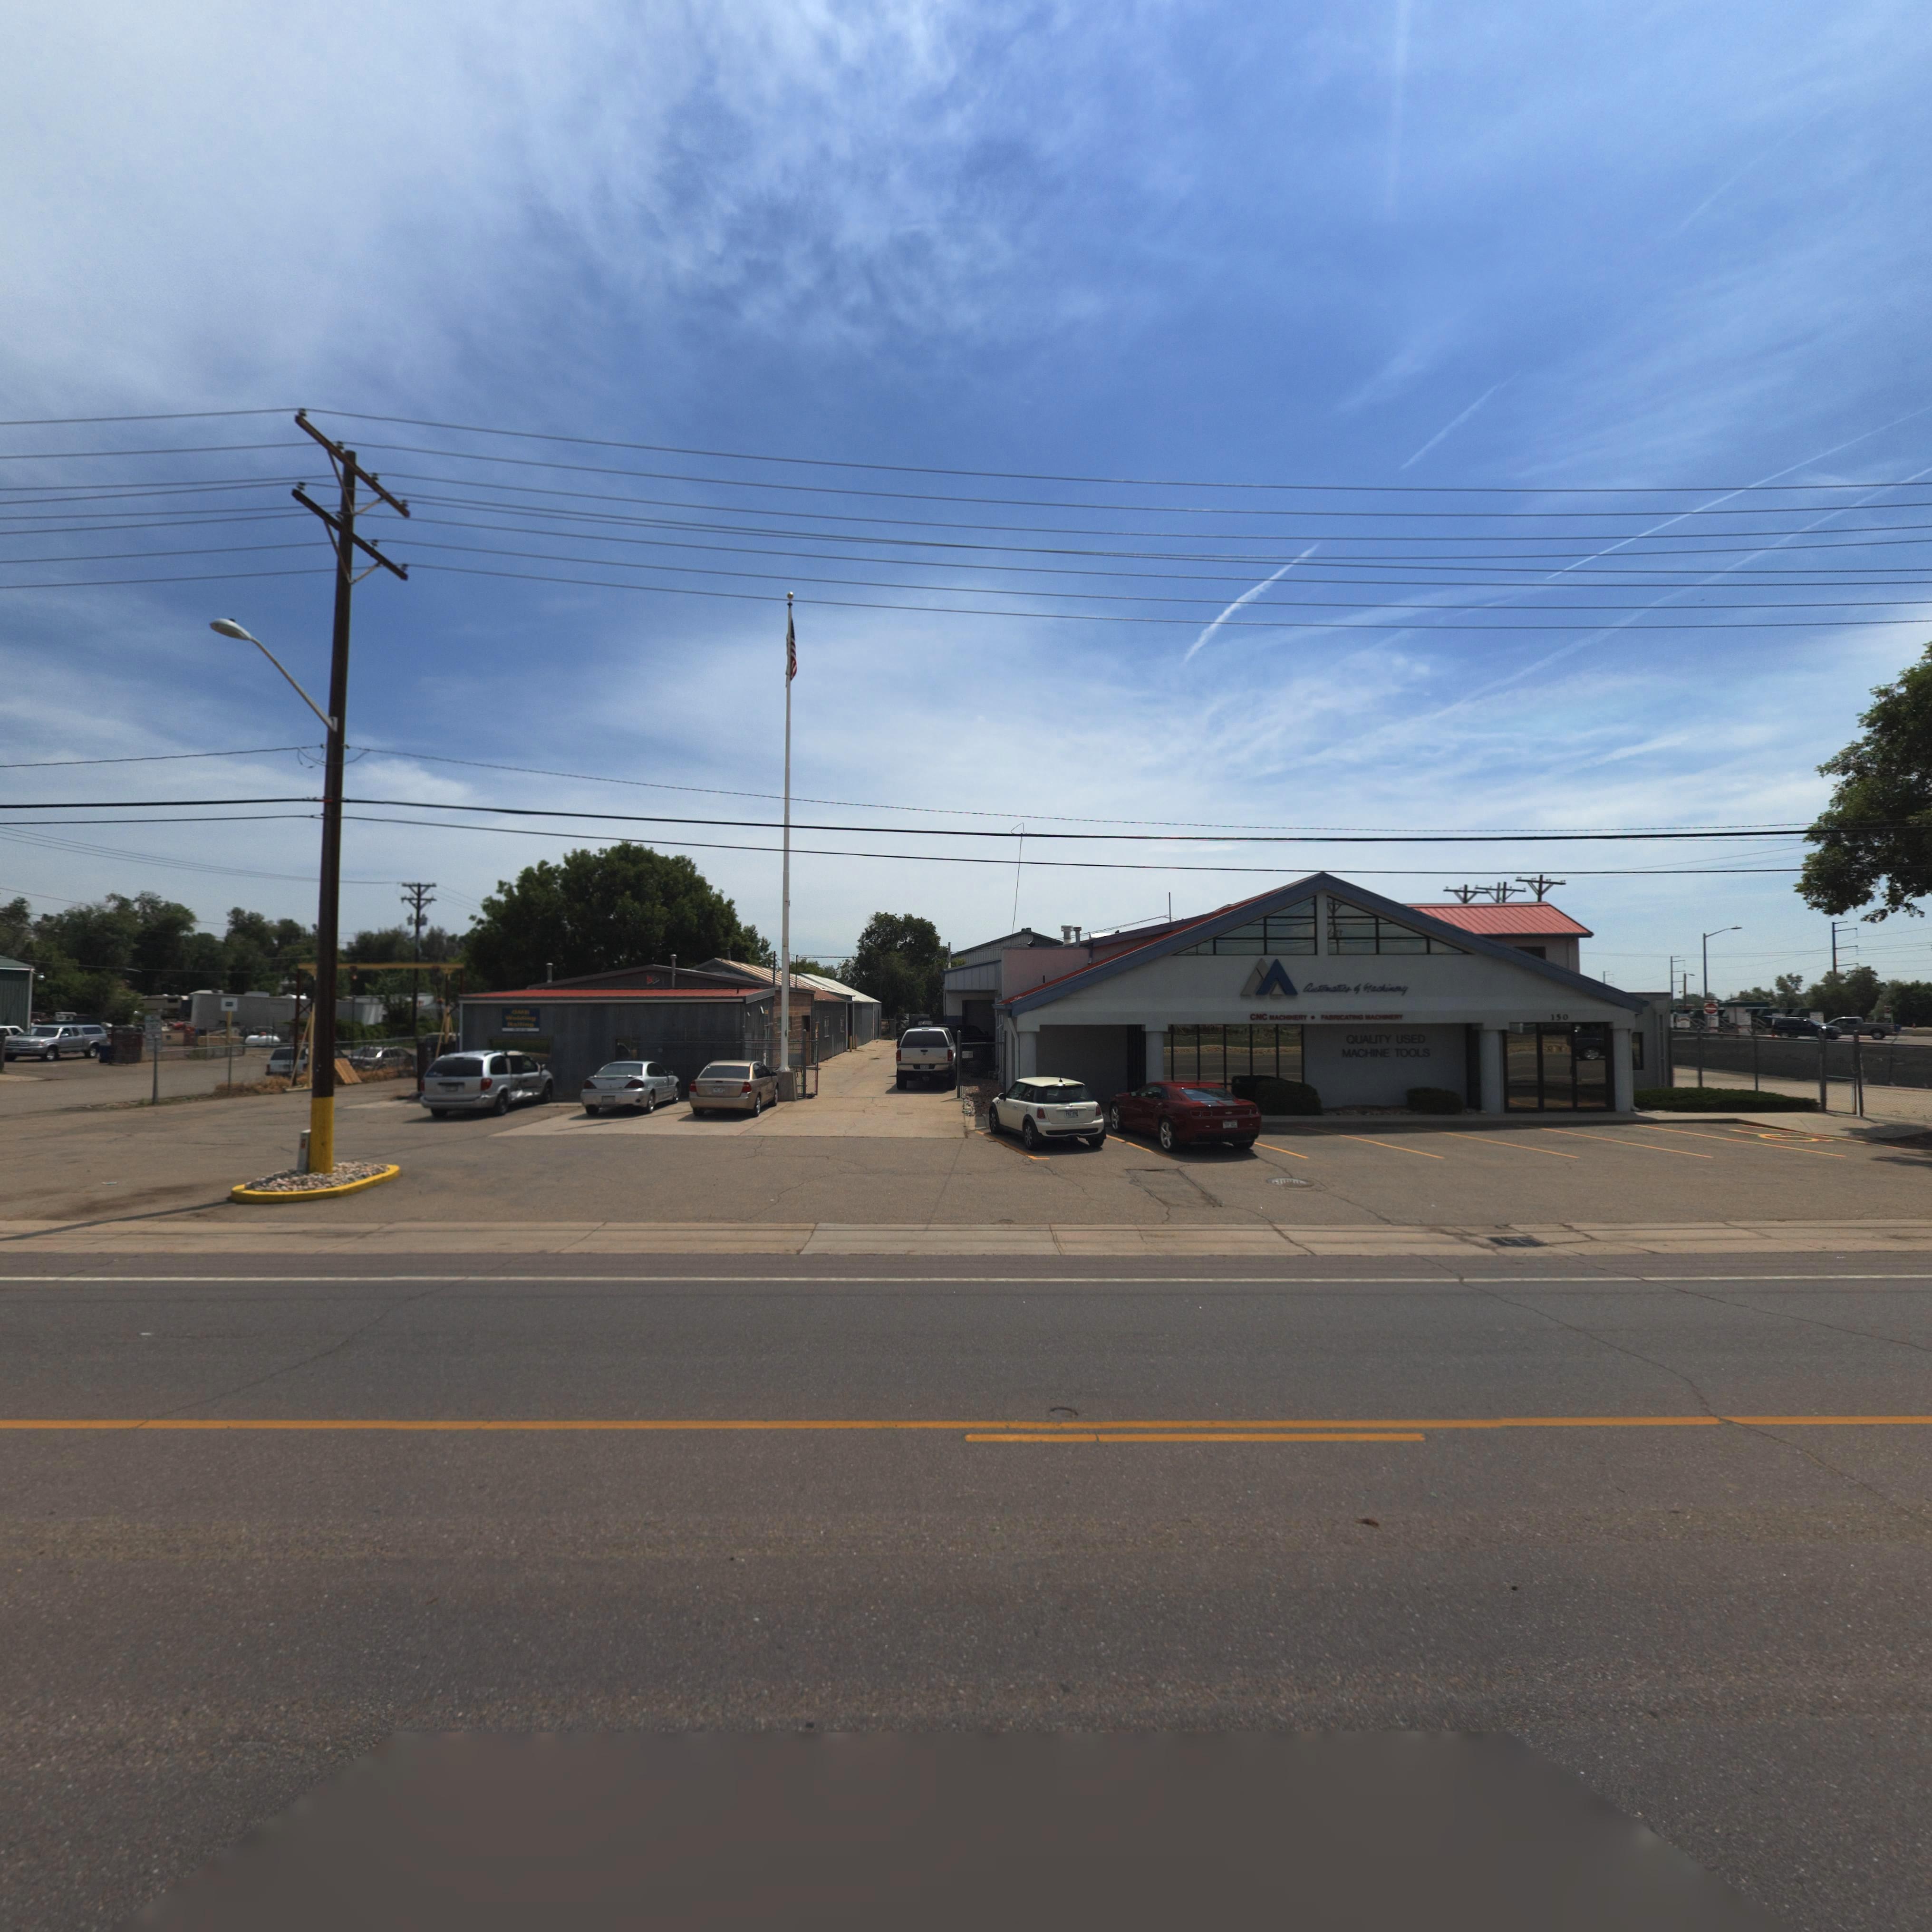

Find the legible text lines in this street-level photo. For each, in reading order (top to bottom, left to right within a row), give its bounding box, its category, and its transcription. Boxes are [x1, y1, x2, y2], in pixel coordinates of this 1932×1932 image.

[1302, 981, 1410, 997] BusinessName: Automatics * Machinery
[511, 1009, 530, 1014] BusinessName: GMB
[505, 1015, 536, 1022] BusinessName: Welding
[1550, 1013, 1568, 1021] StreetNumber: 150
[507, 1021, 534, 1028] BusinessName: Railing